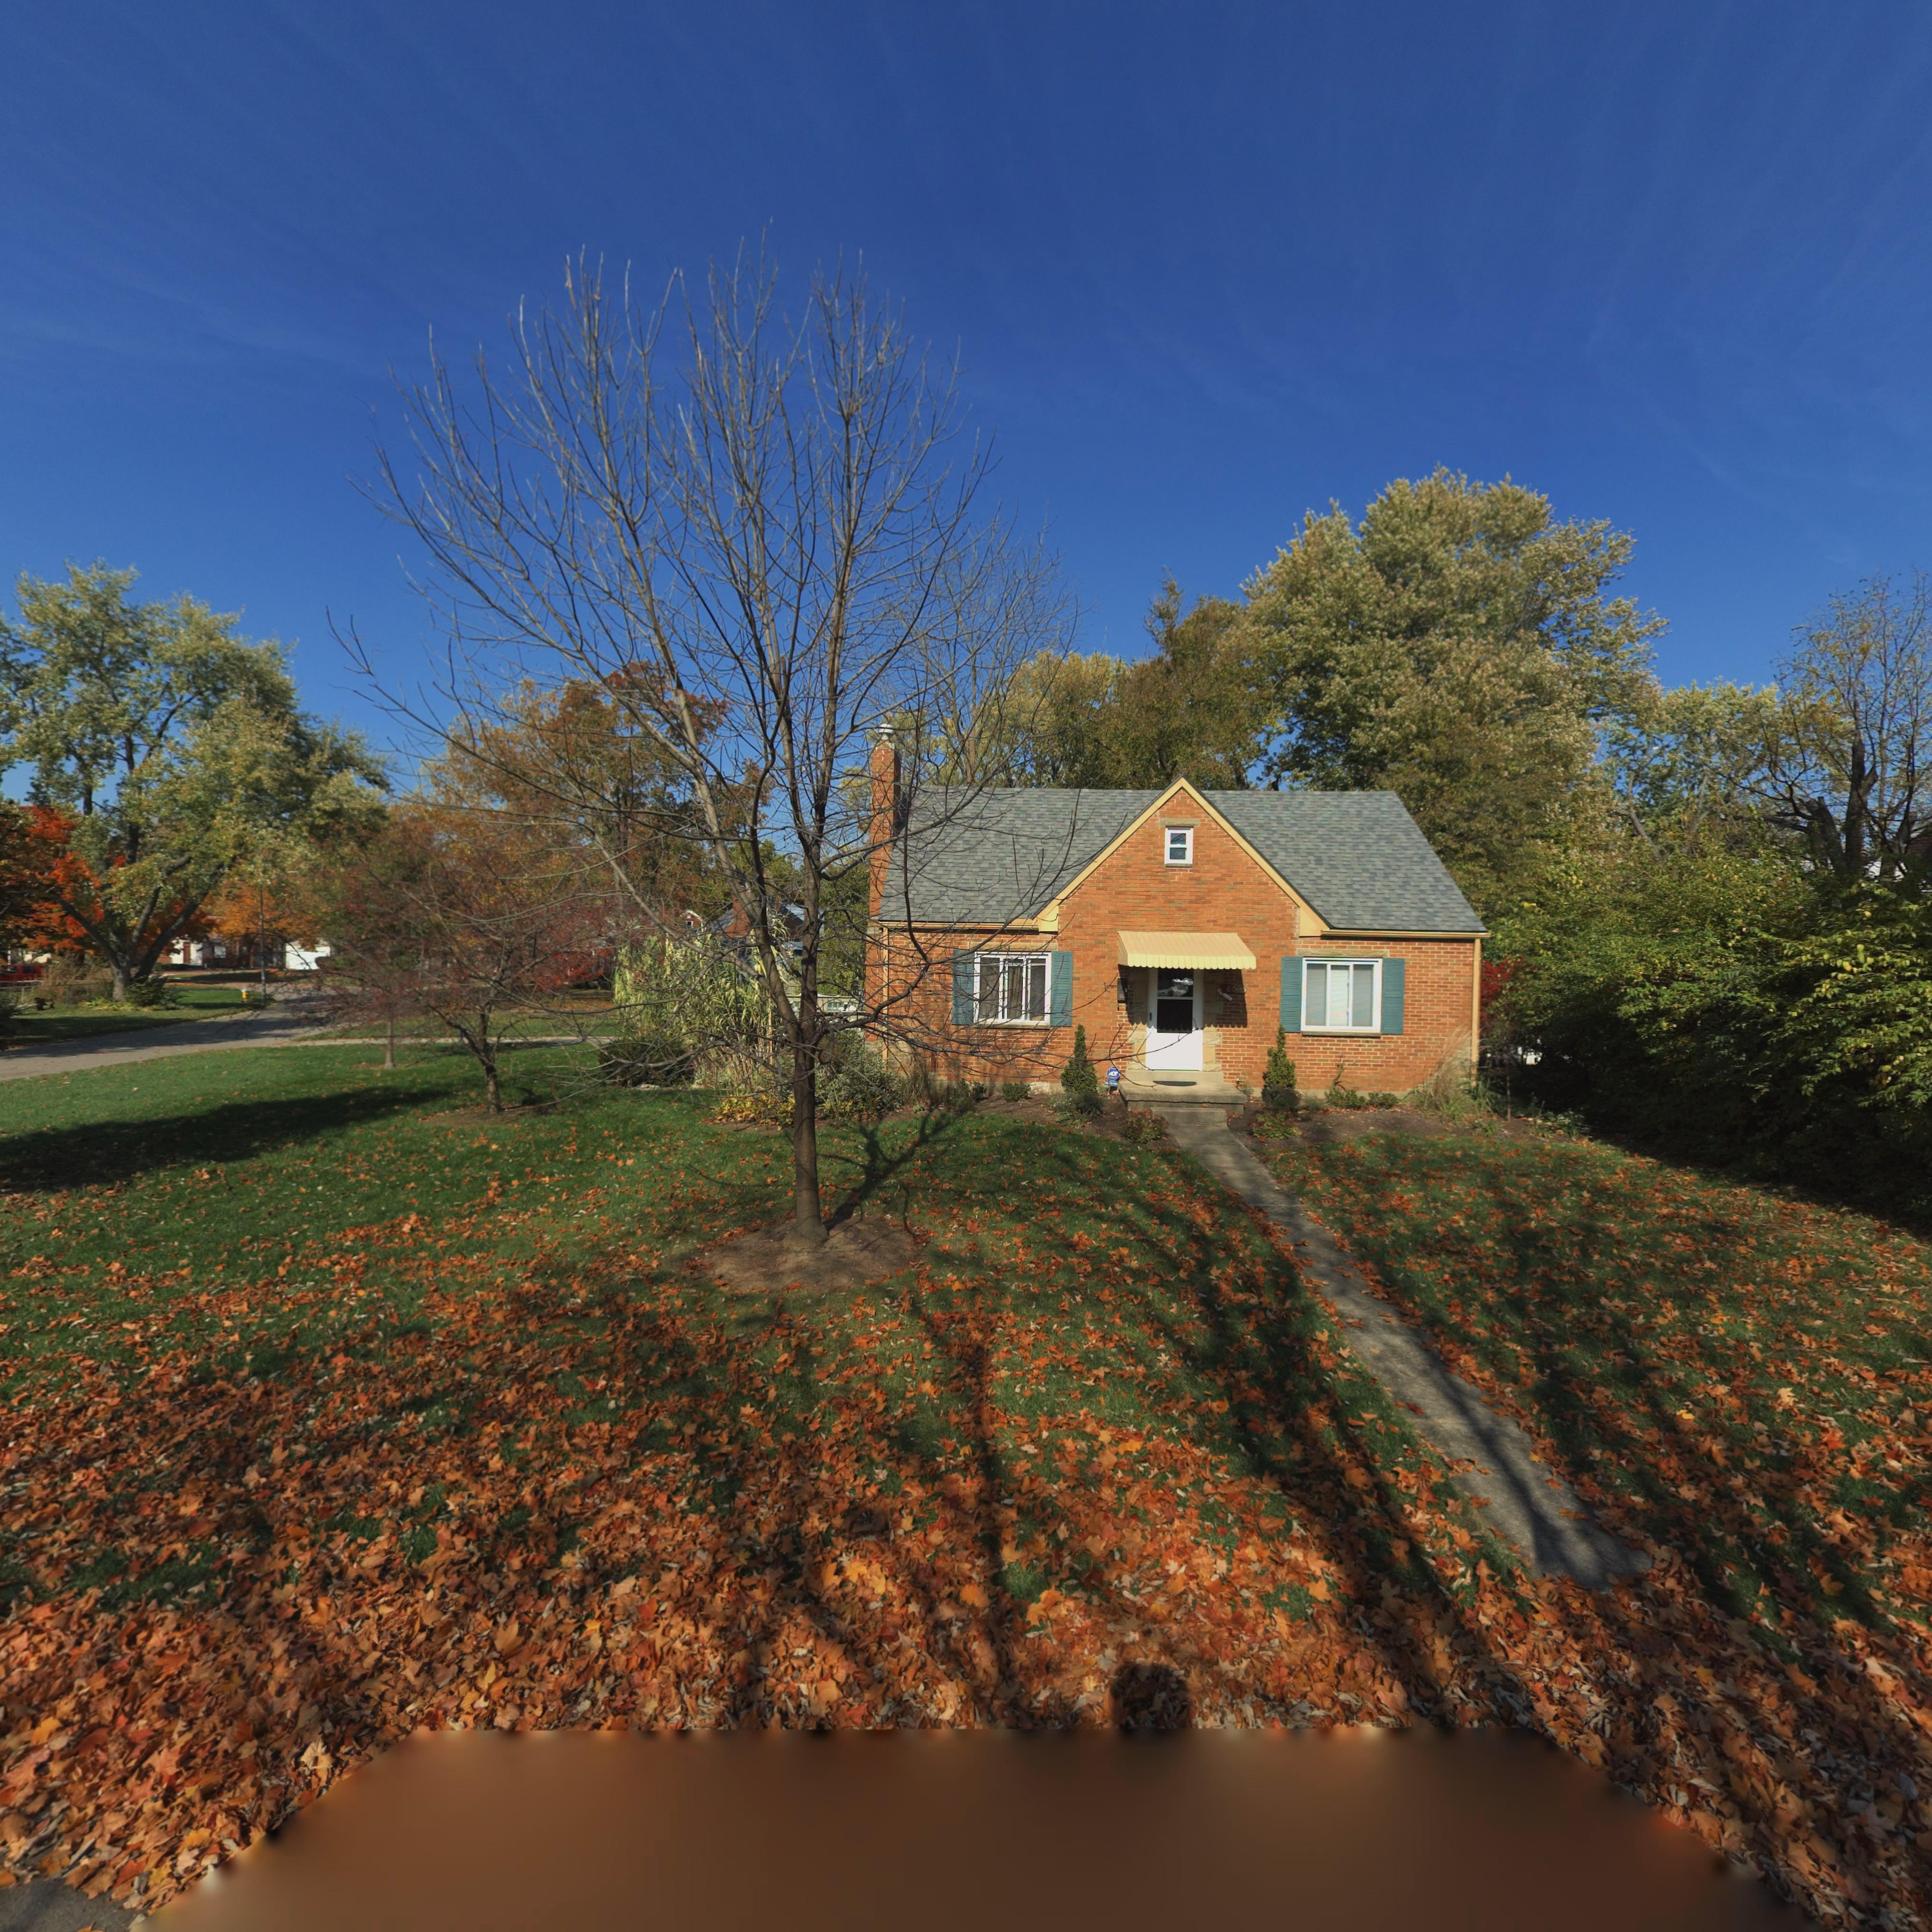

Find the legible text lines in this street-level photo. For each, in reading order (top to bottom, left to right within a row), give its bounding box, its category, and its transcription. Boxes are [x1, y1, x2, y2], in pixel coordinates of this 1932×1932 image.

[1226, 985, 1241, 993] StreetNumber: 60*
[1108, 1071, 1119, 1077] None: ADT